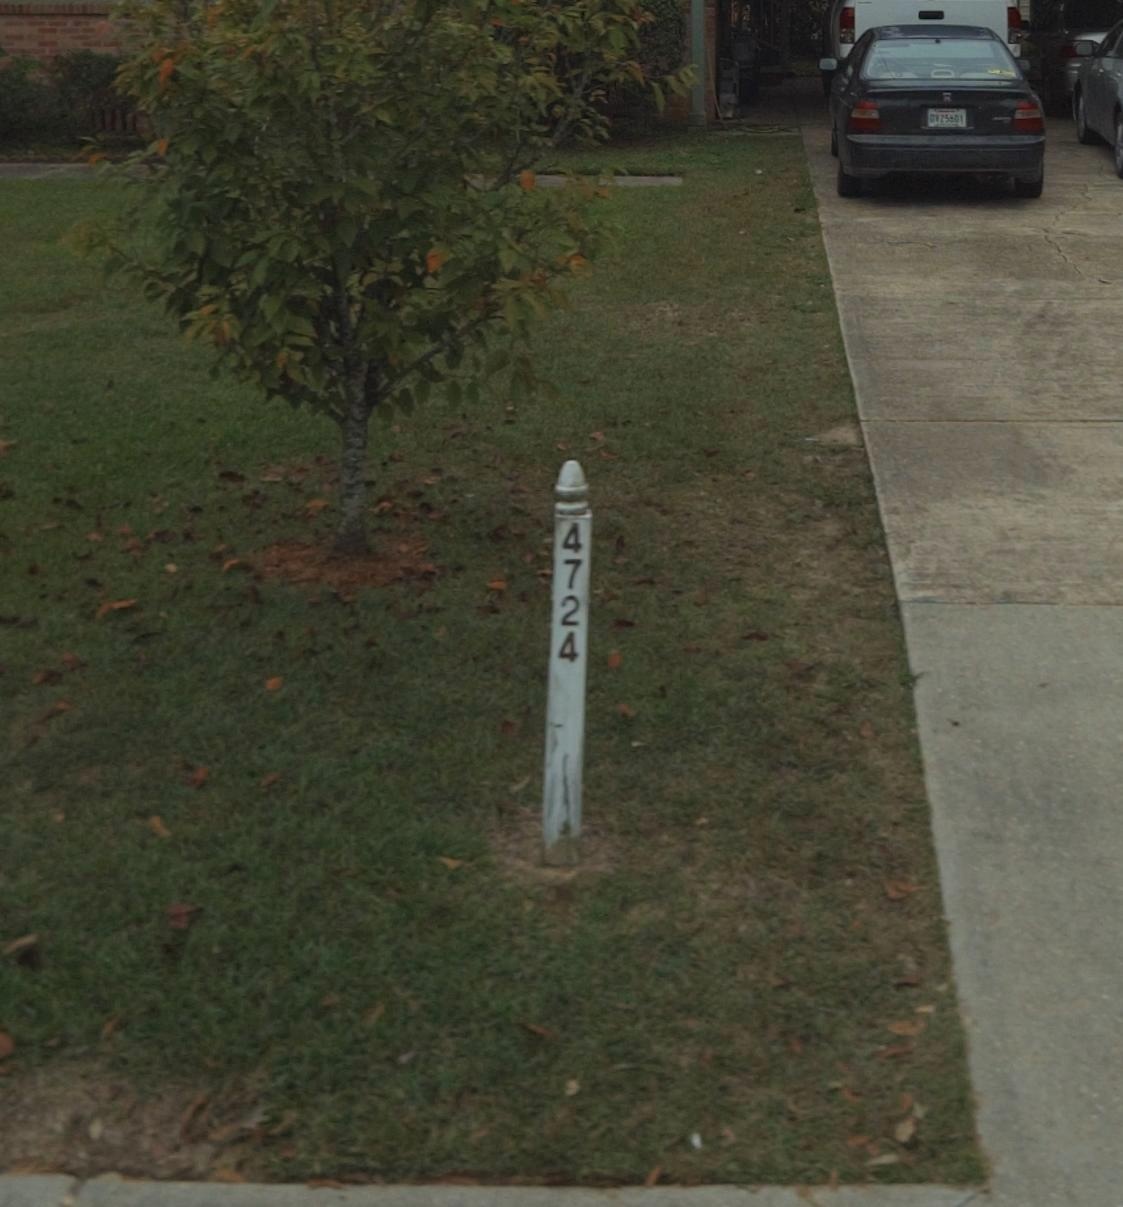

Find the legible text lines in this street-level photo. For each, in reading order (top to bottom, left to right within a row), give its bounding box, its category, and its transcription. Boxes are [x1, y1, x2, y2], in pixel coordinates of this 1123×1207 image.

[929, 114, 964, 124] None: OW25601
[558, 521, 583, 663] StreetNumber: 4724